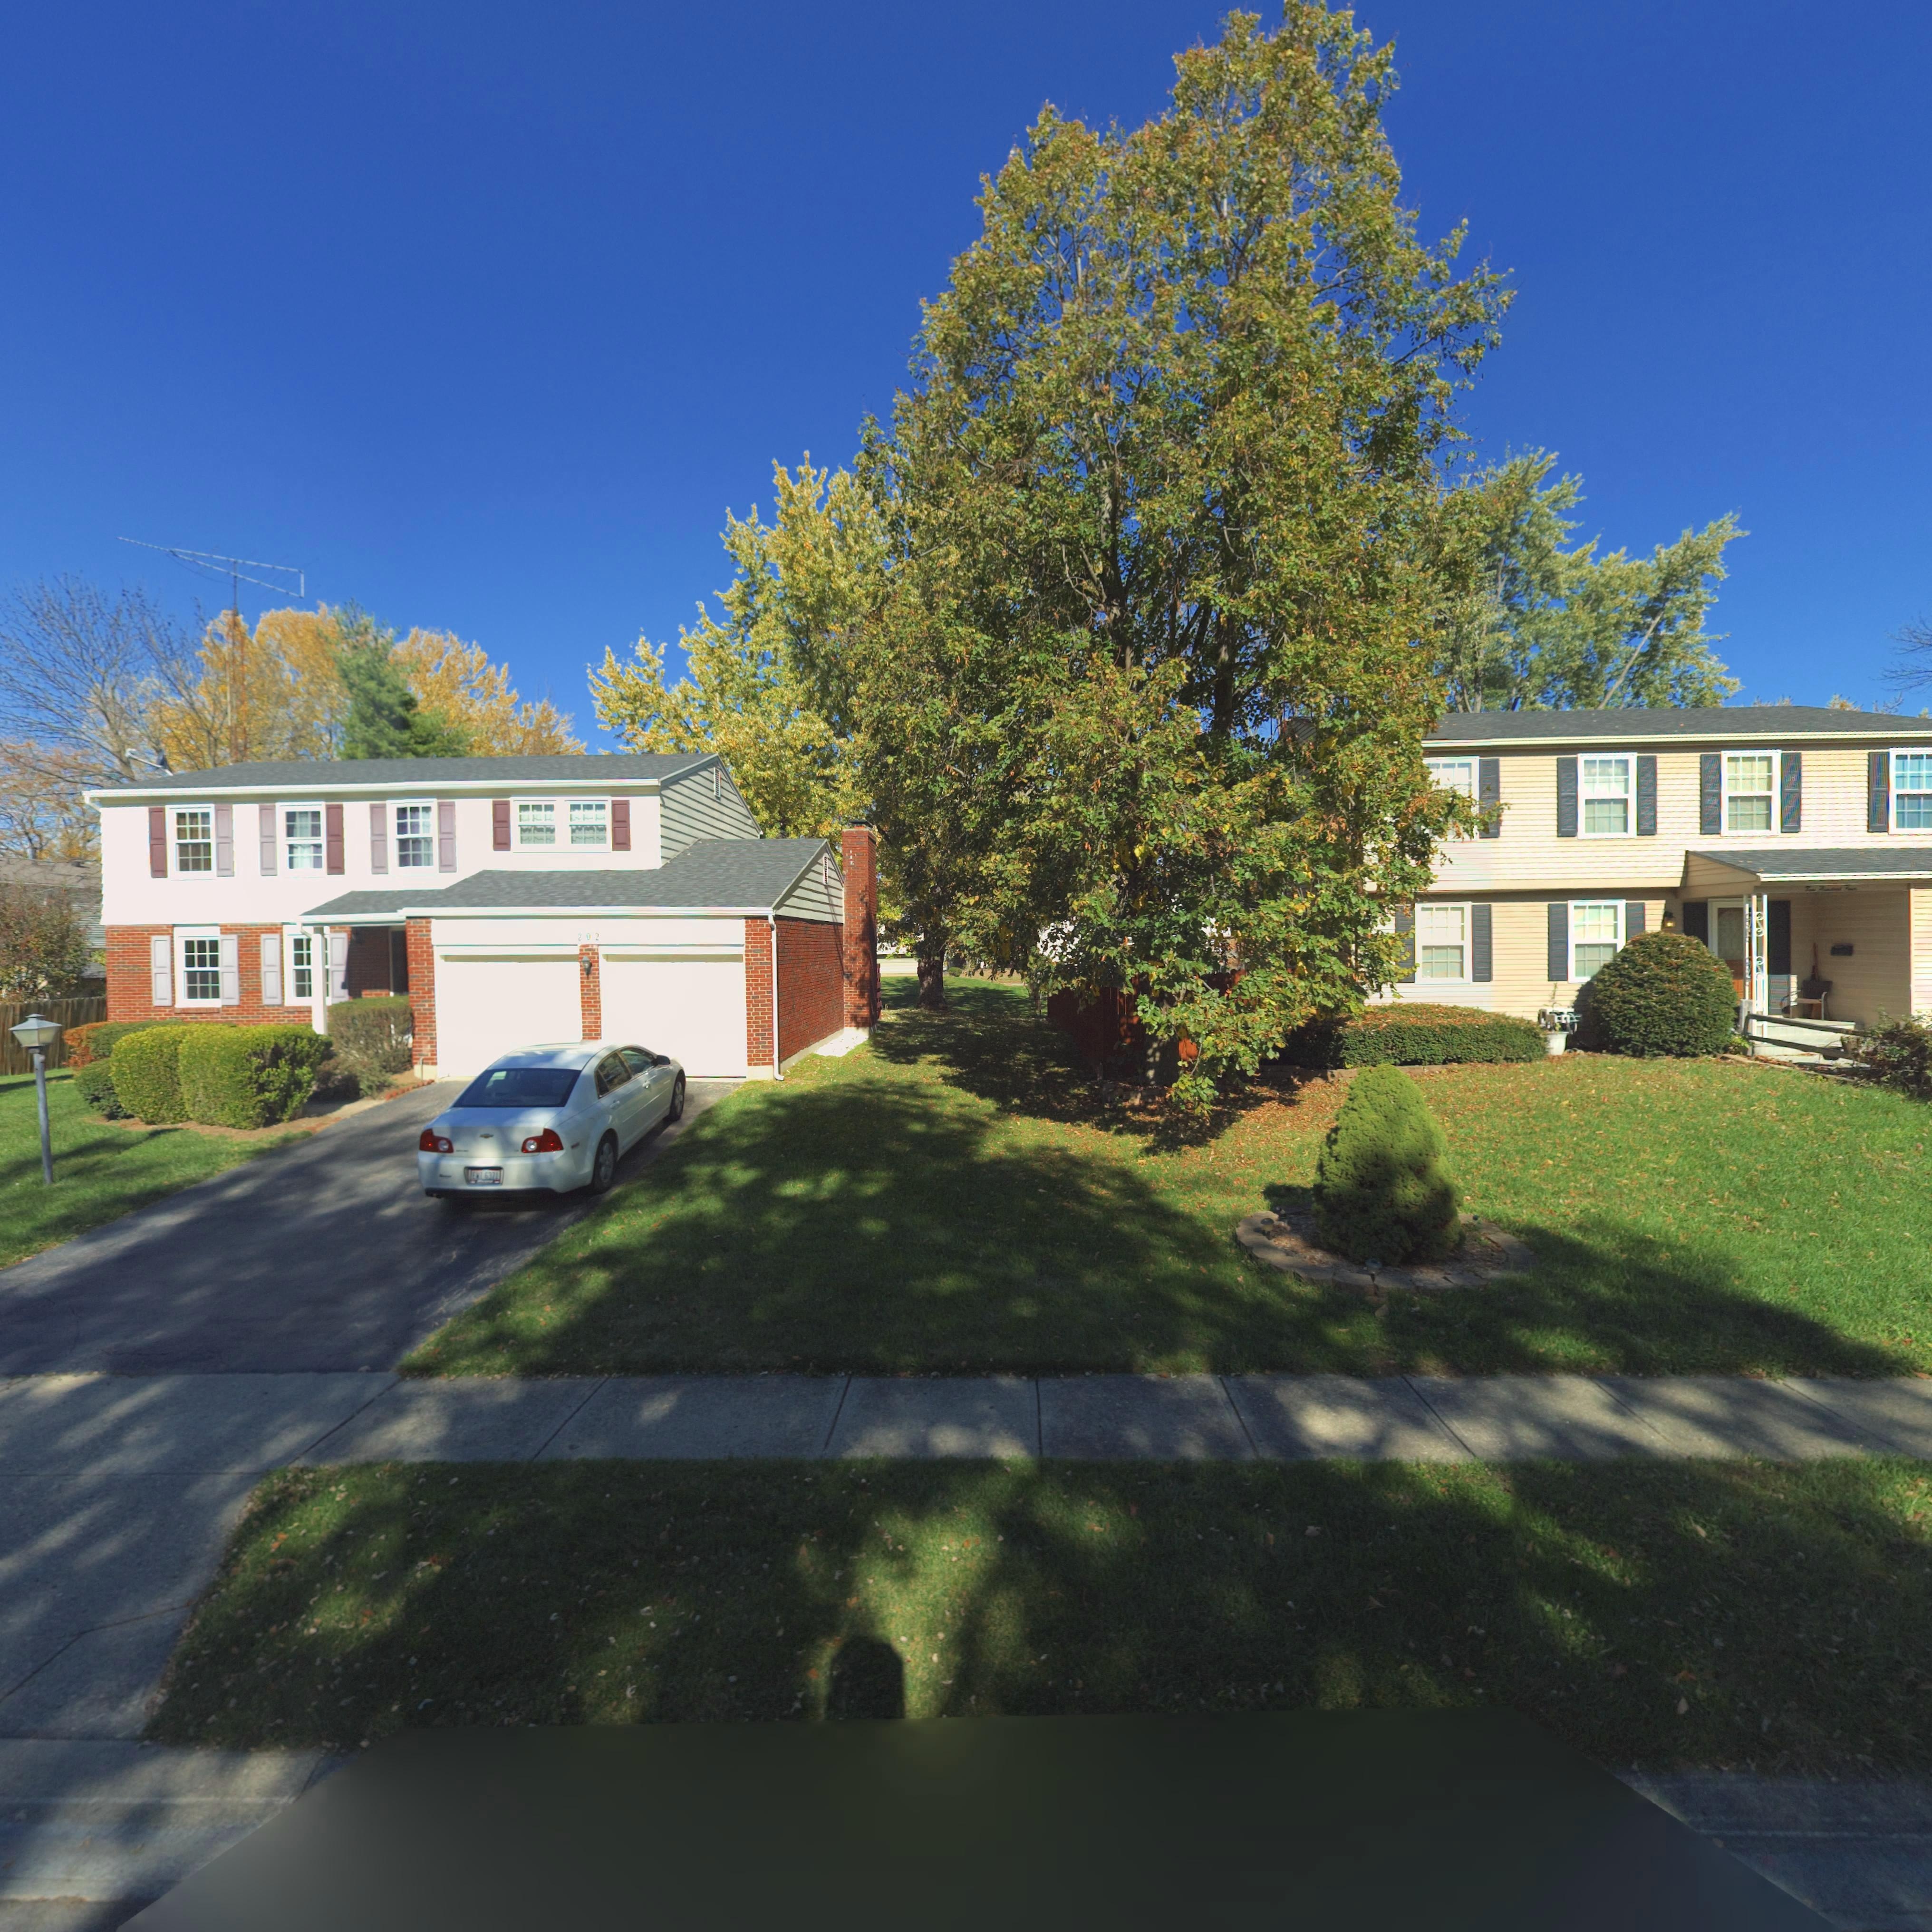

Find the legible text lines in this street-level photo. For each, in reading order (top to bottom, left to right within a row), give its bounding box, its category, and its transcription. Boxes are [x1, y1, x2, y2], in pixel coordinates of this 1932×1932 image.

[576, 931, 600, 942] StreetNumber: 202